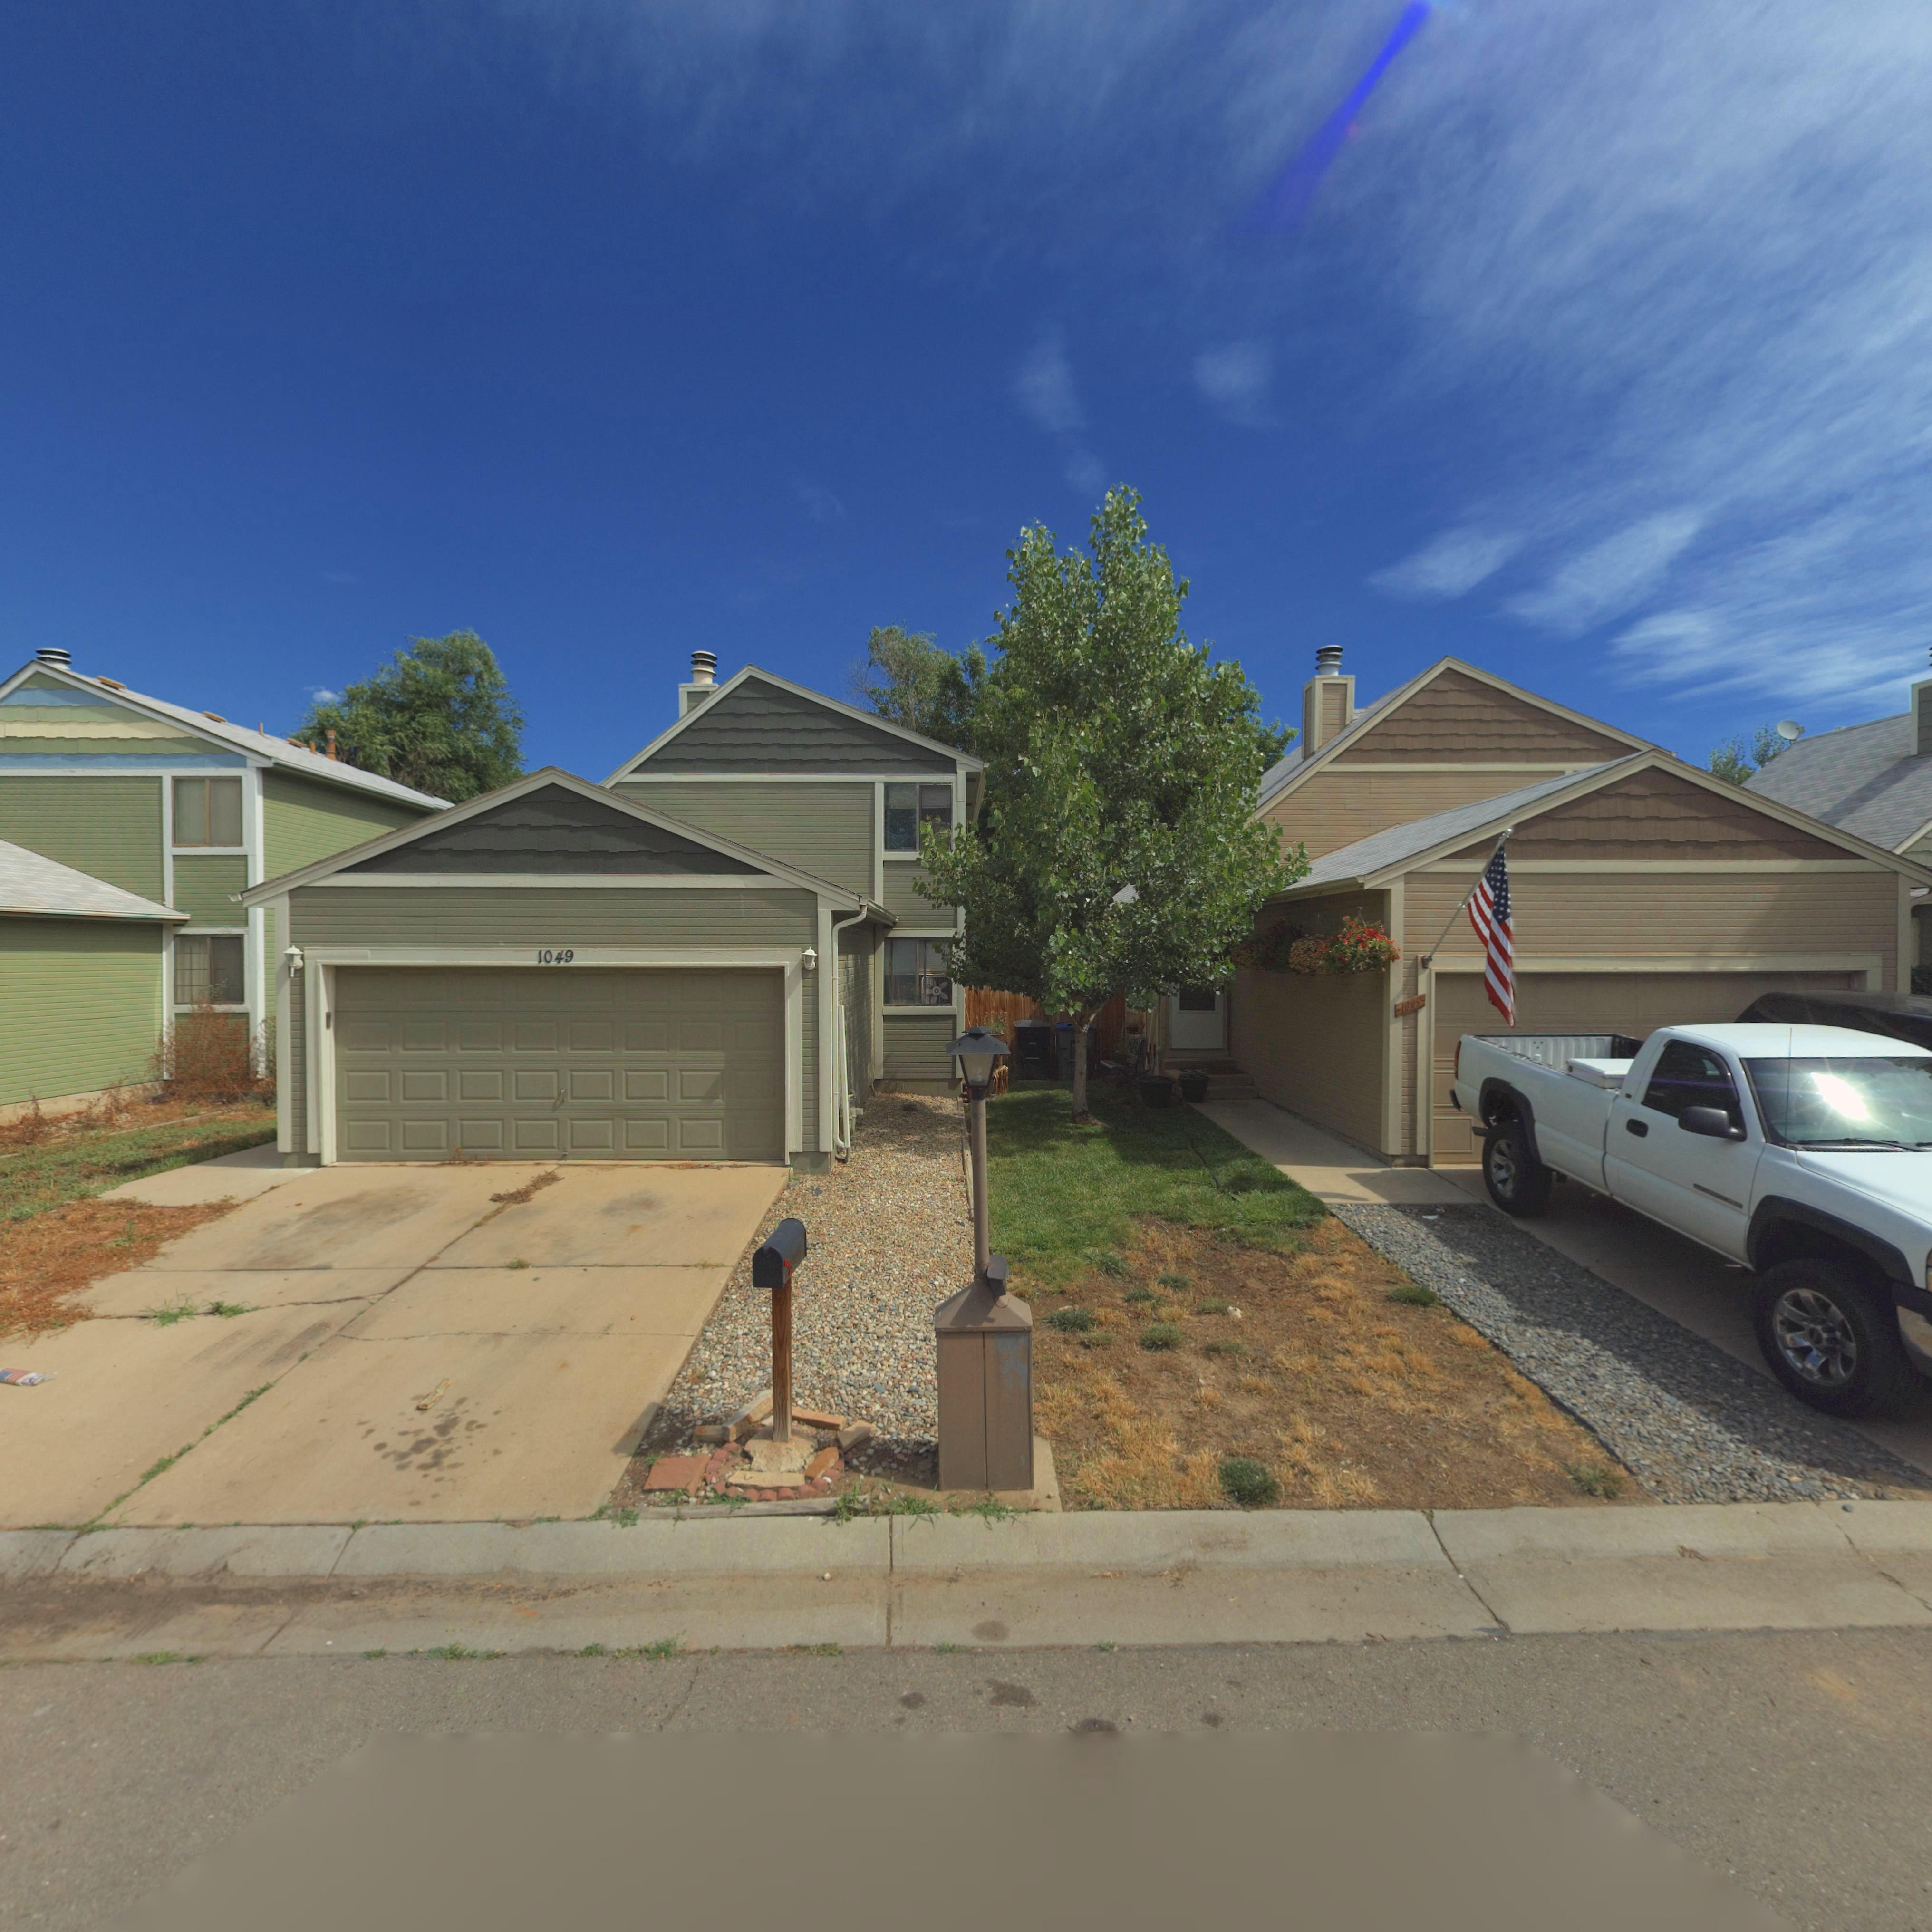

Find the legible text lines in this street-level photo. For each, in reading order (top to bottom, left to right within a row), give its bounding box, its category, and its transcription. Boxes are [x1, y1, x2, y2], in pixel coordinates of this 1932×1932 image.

[538, 949, 574, 964] StreetNumber: 1049
[1401, 996, 1420, 1013] StreetNumber: 1045